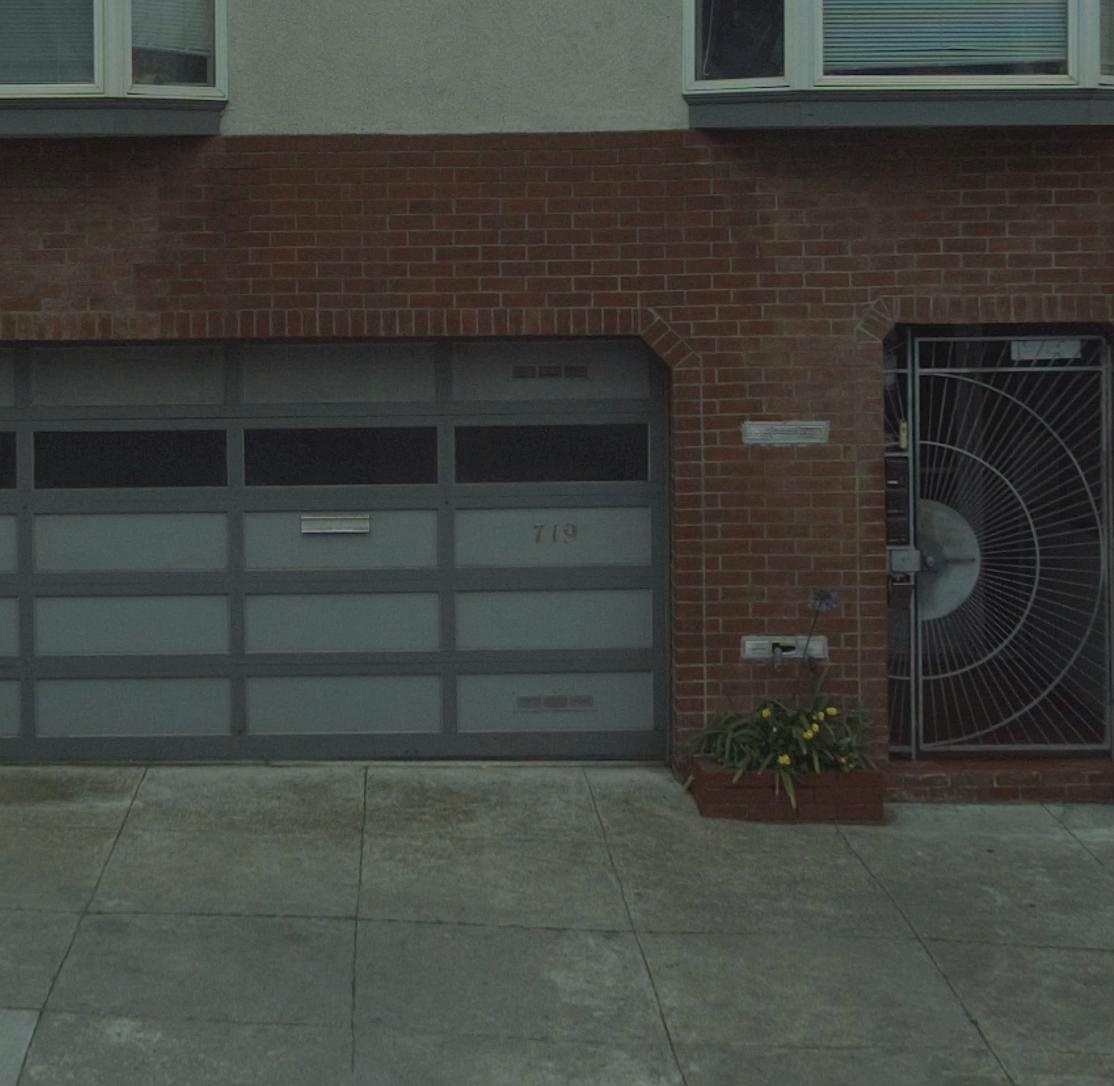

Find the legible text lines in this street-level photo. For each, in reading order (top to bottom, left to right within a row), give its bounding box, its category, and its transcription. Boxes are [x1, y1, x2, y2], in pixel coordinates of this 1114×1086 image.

[531, 520, 578, 546] StreetNumber: 719